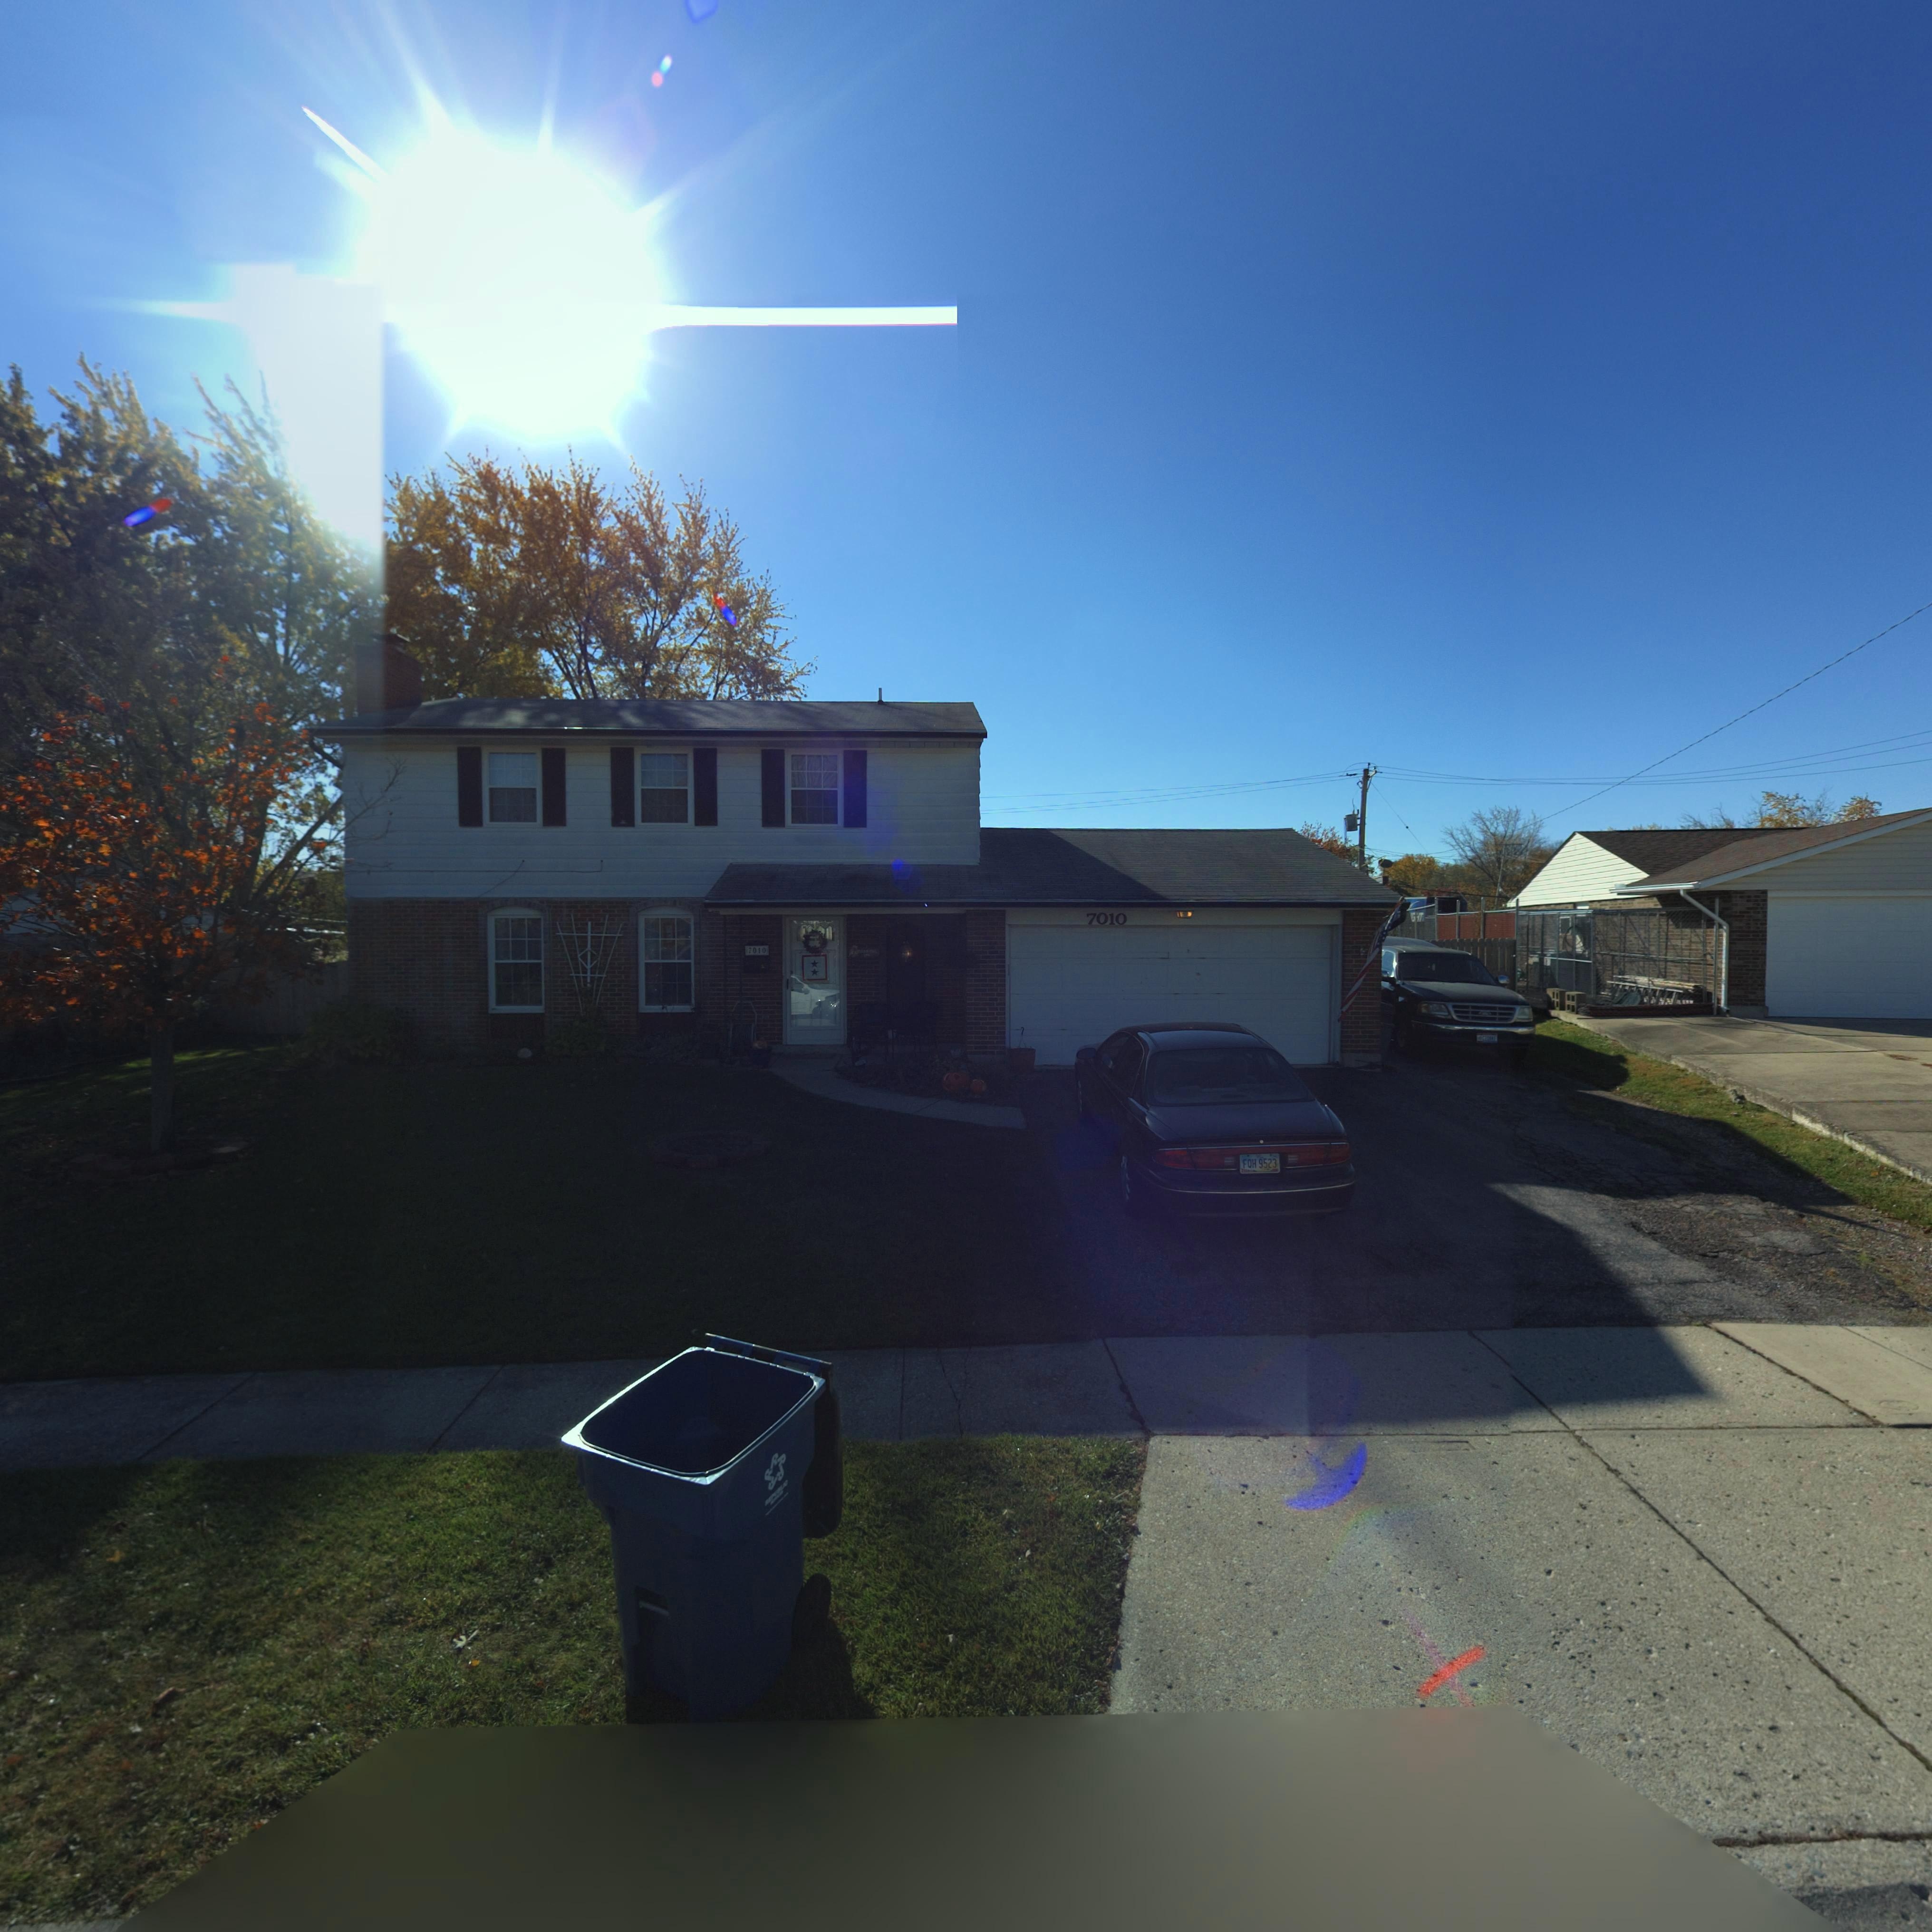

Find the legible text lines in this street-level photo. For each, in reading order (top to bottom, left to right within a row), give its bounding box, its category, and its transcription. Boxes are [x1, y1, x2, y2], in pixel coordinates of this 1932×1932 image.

[1085, 912, 1128, 926] StreetNumber: 7010
[748, 947, 766, 954] StreetNumber: 7010